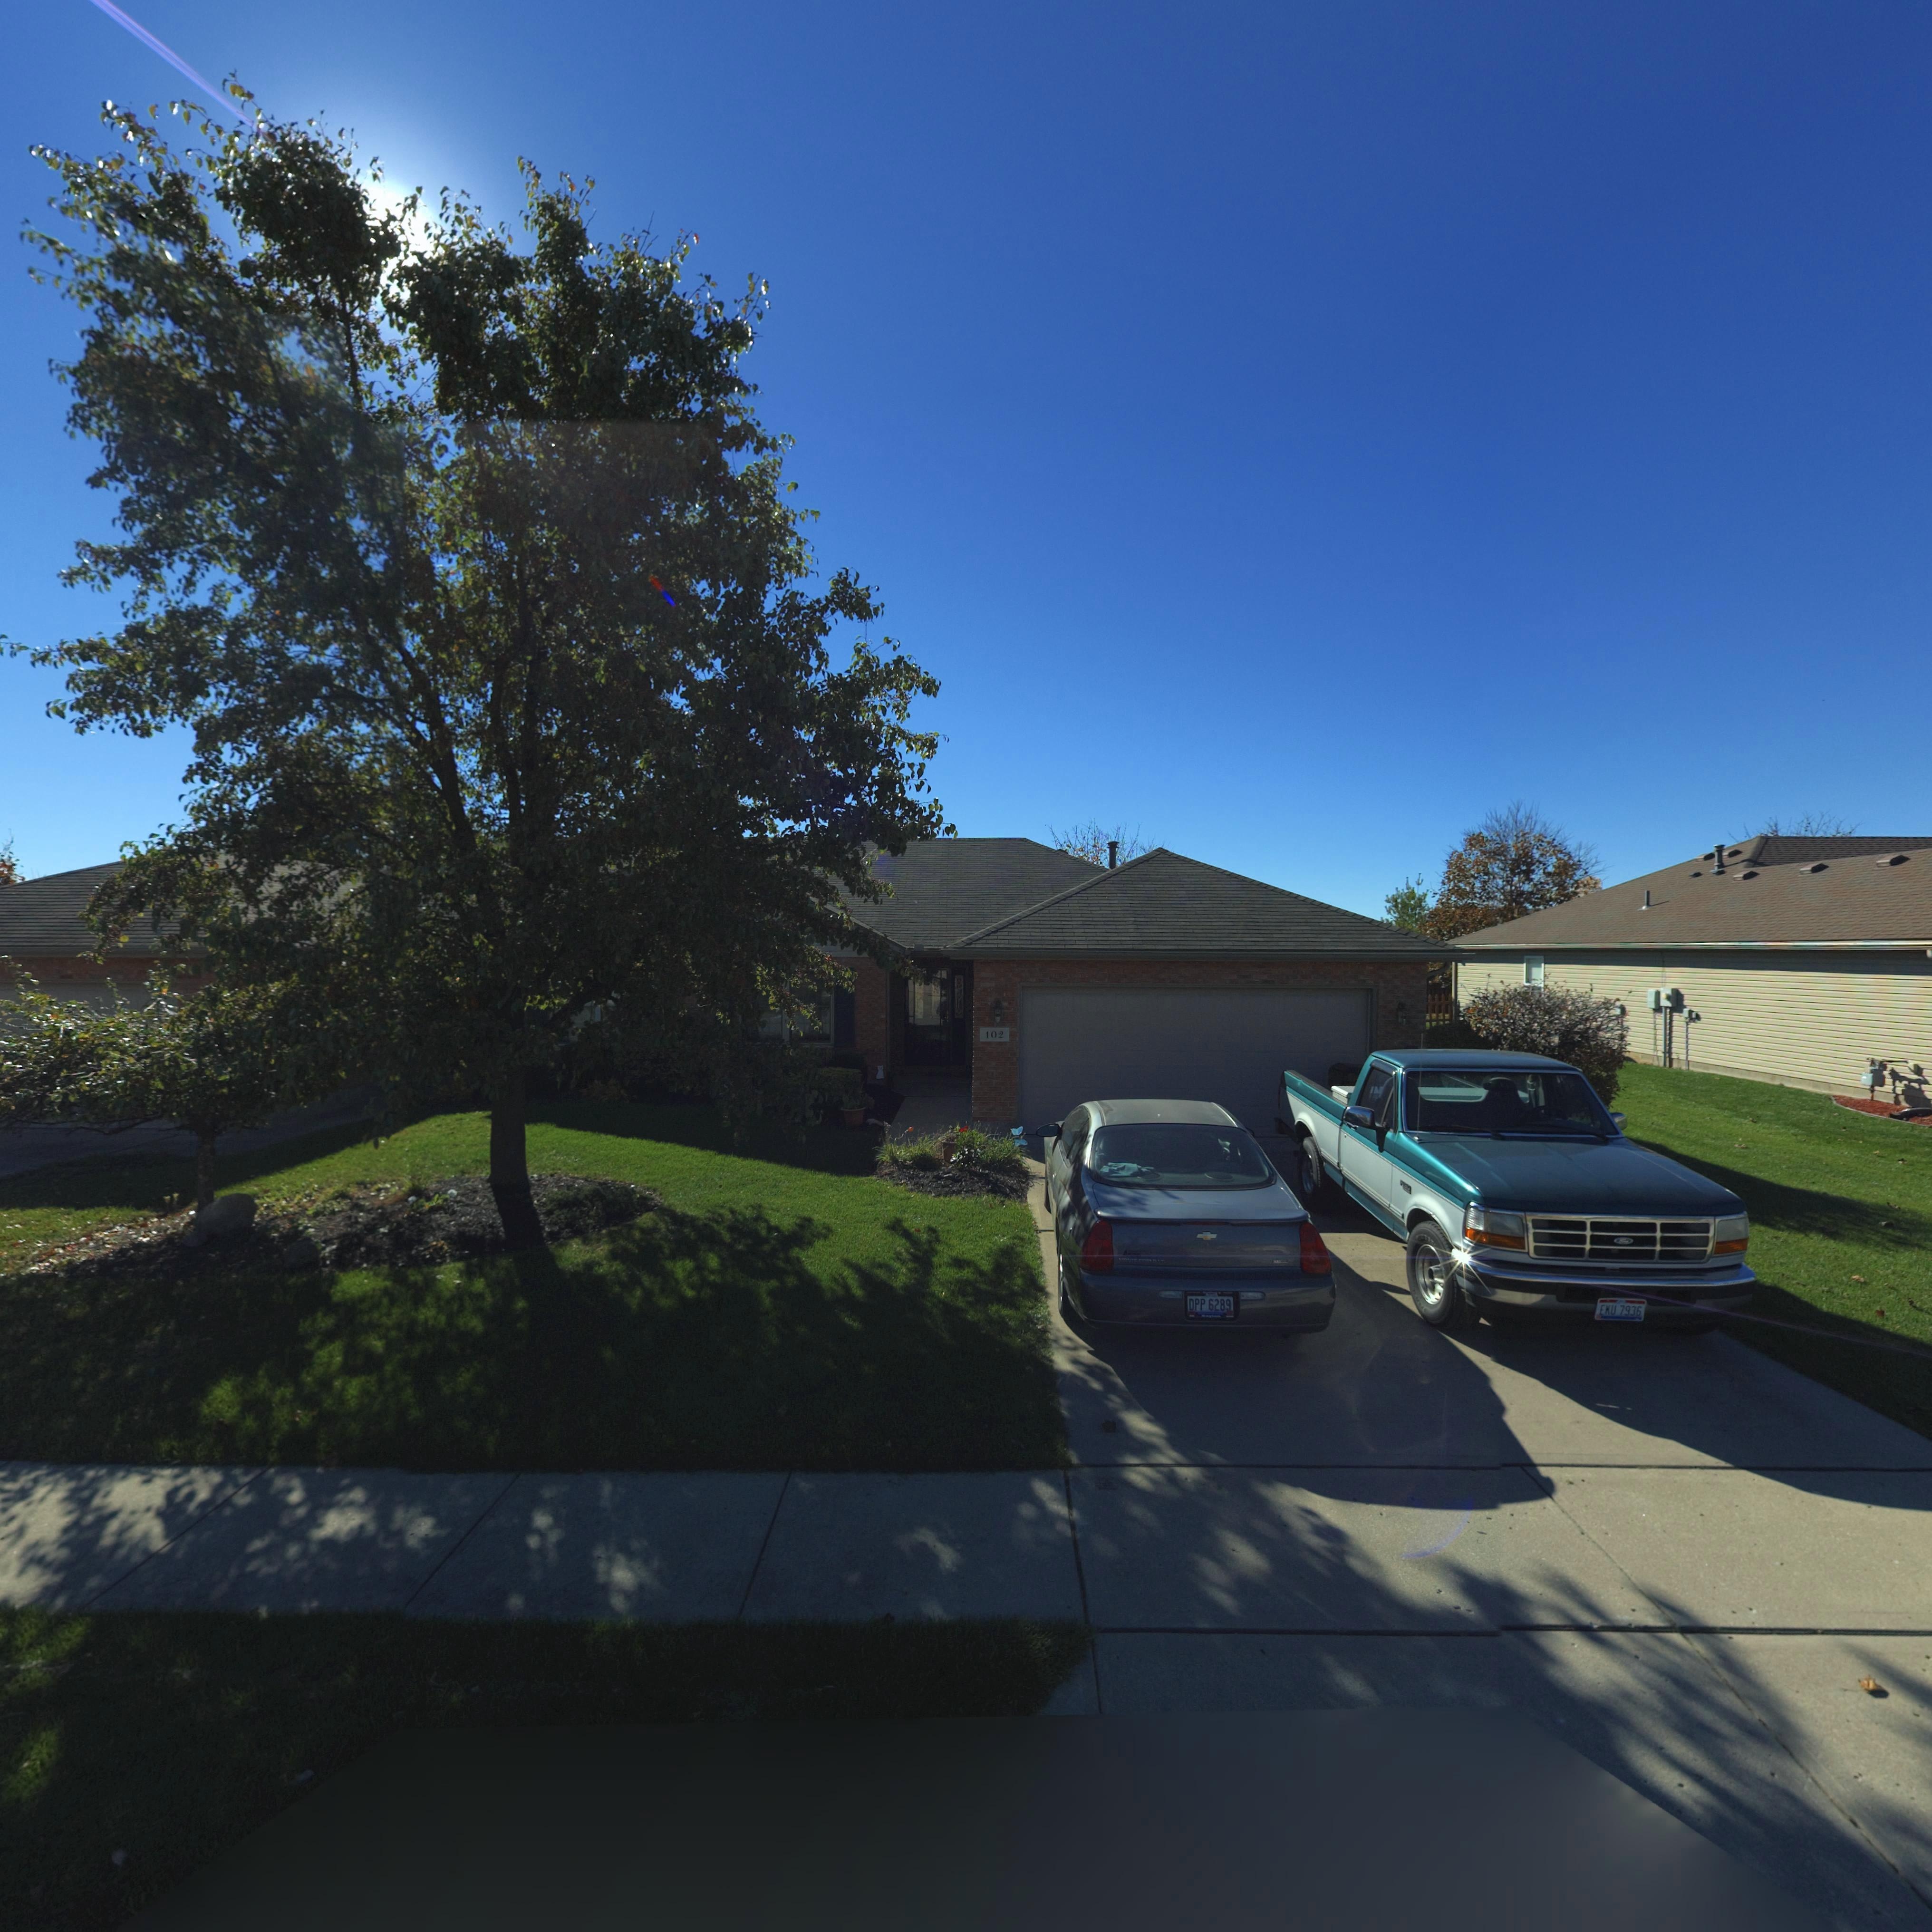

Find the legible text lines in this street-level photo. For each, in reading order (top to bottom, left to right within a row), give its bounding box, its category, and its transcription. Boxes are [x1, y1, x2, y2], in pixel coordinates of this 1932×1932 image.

[985, 1030, 1004, 1039] StreetNumber: 102
[1187, 1297, 1233, 1312] None: DPP 6289
[1599, 1303, 1642, 1317] None: DKU 7936